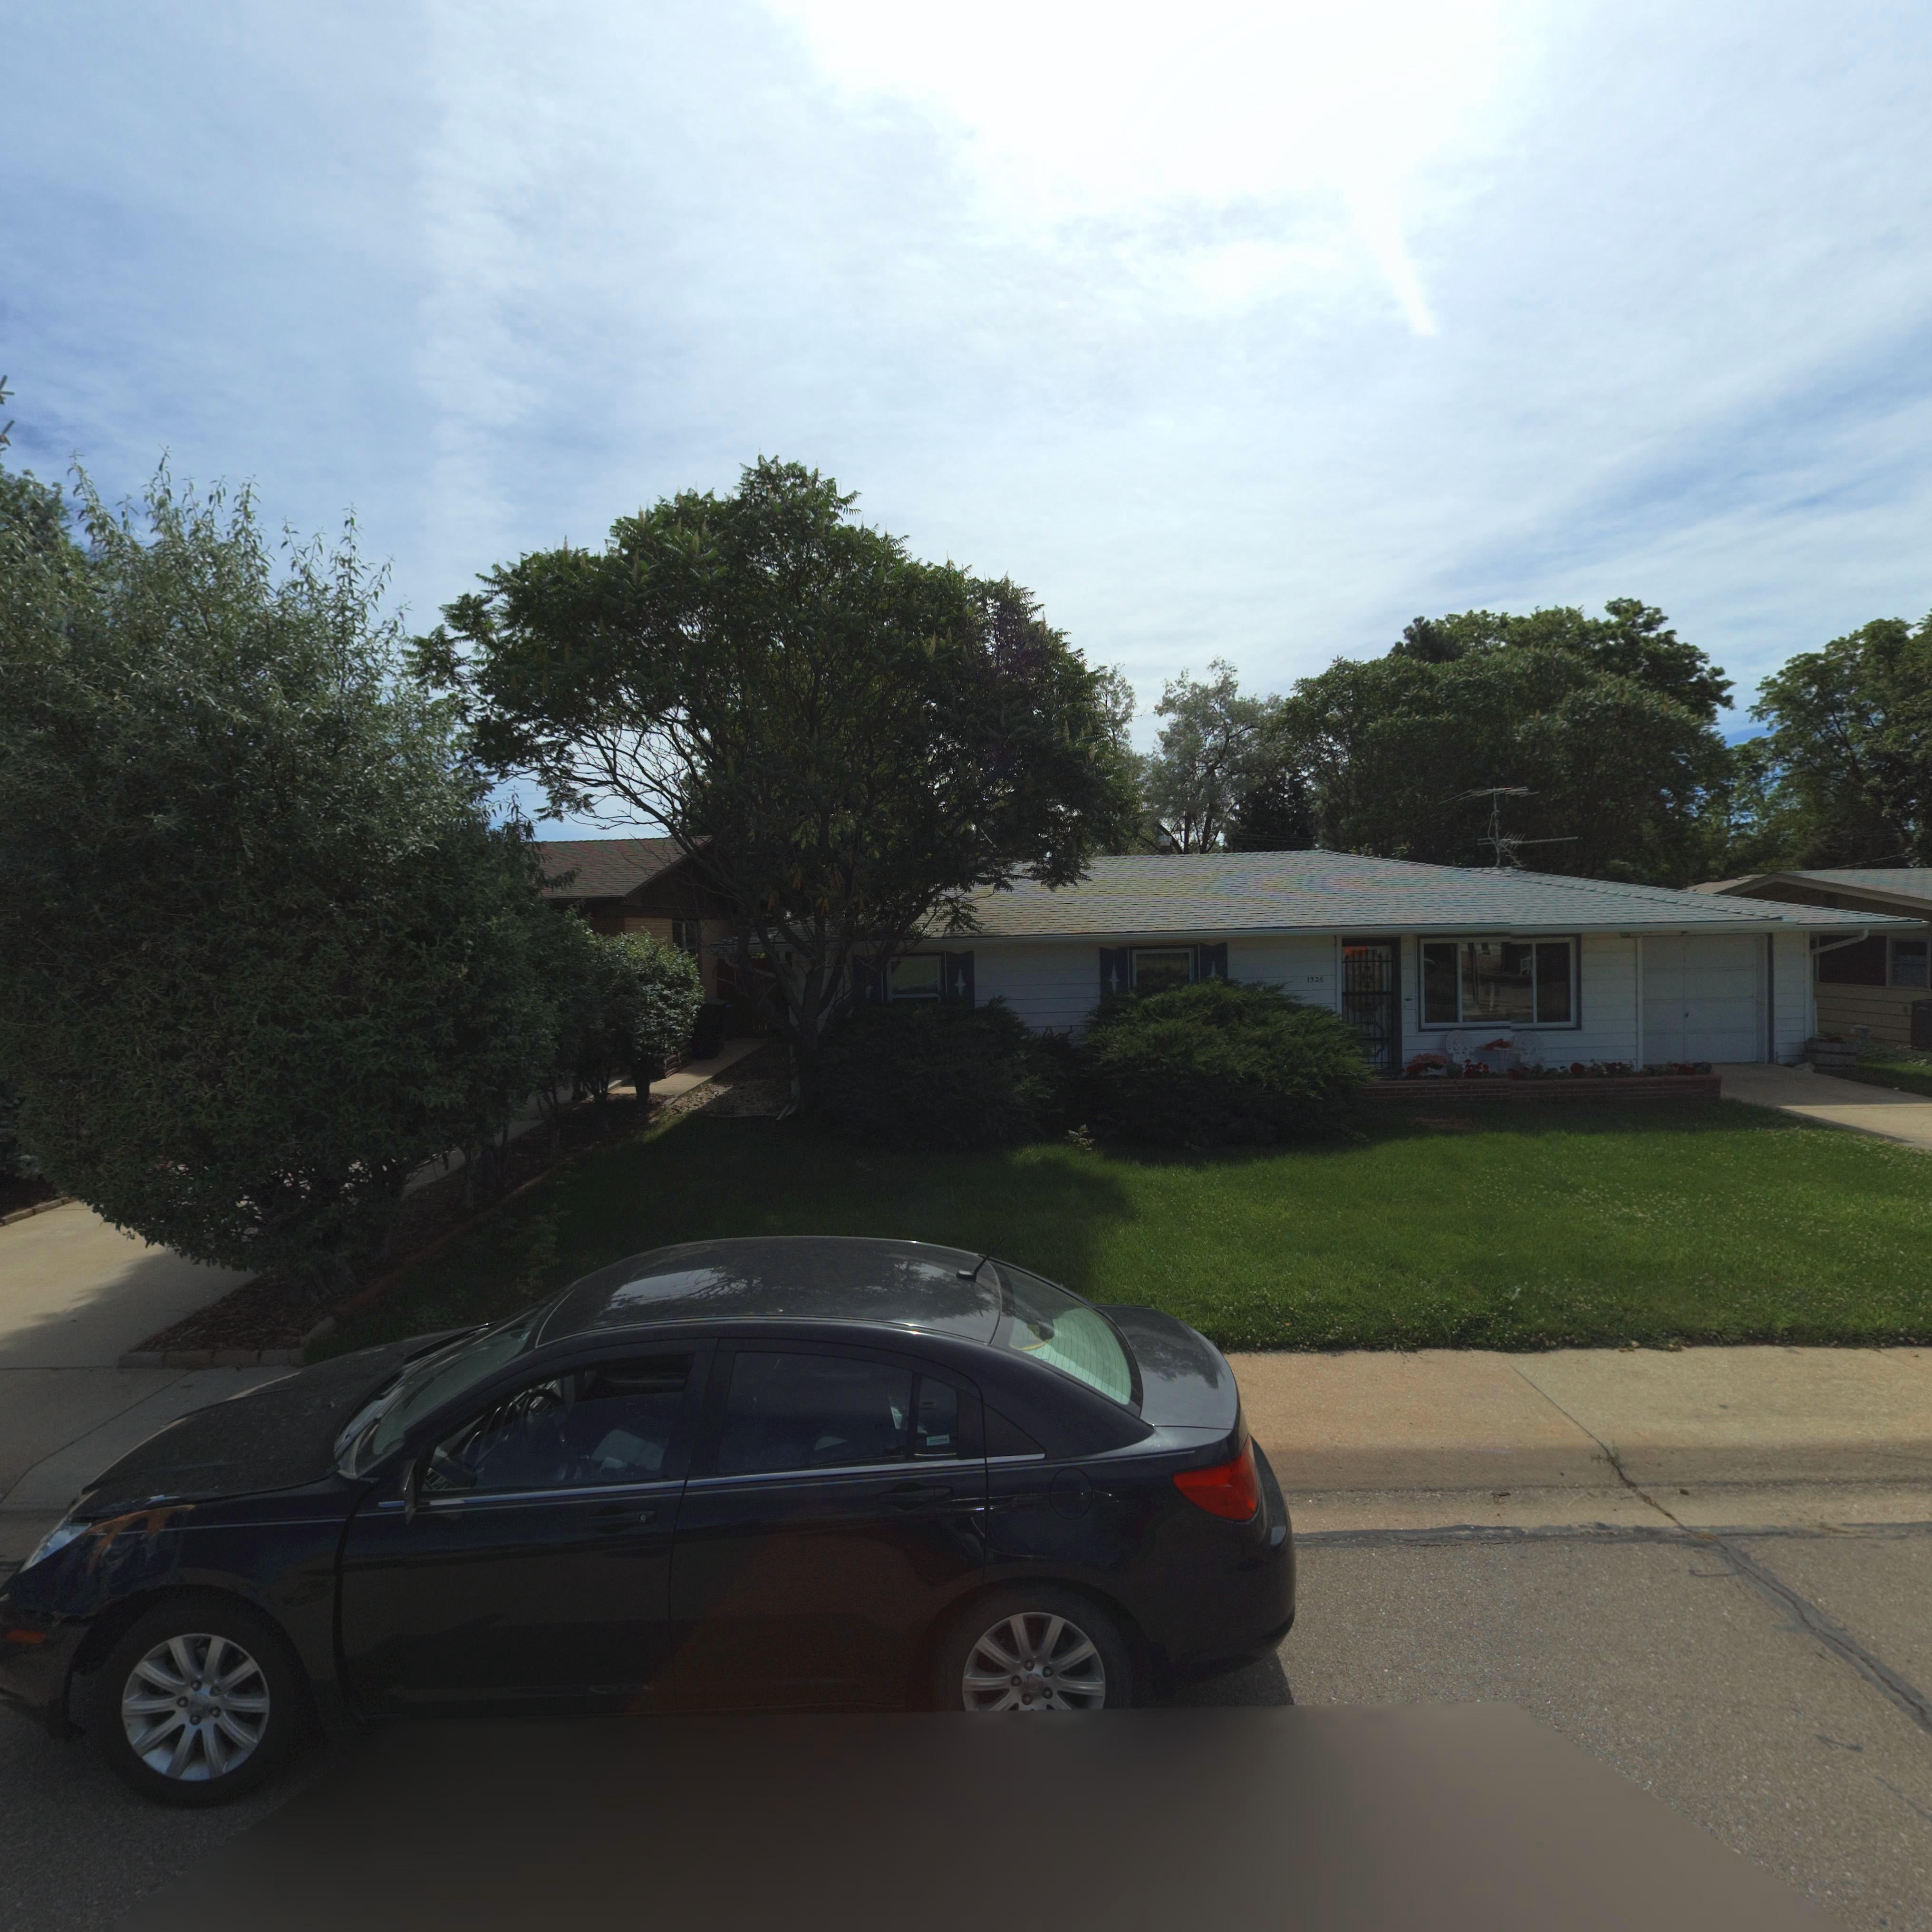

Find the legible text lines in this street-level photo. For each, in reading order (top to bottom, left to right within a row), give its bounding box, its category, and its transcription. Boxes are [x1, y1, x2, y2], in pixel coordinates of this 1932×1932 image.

[1307, 976, 1323, 983] StreetNumber: 1326